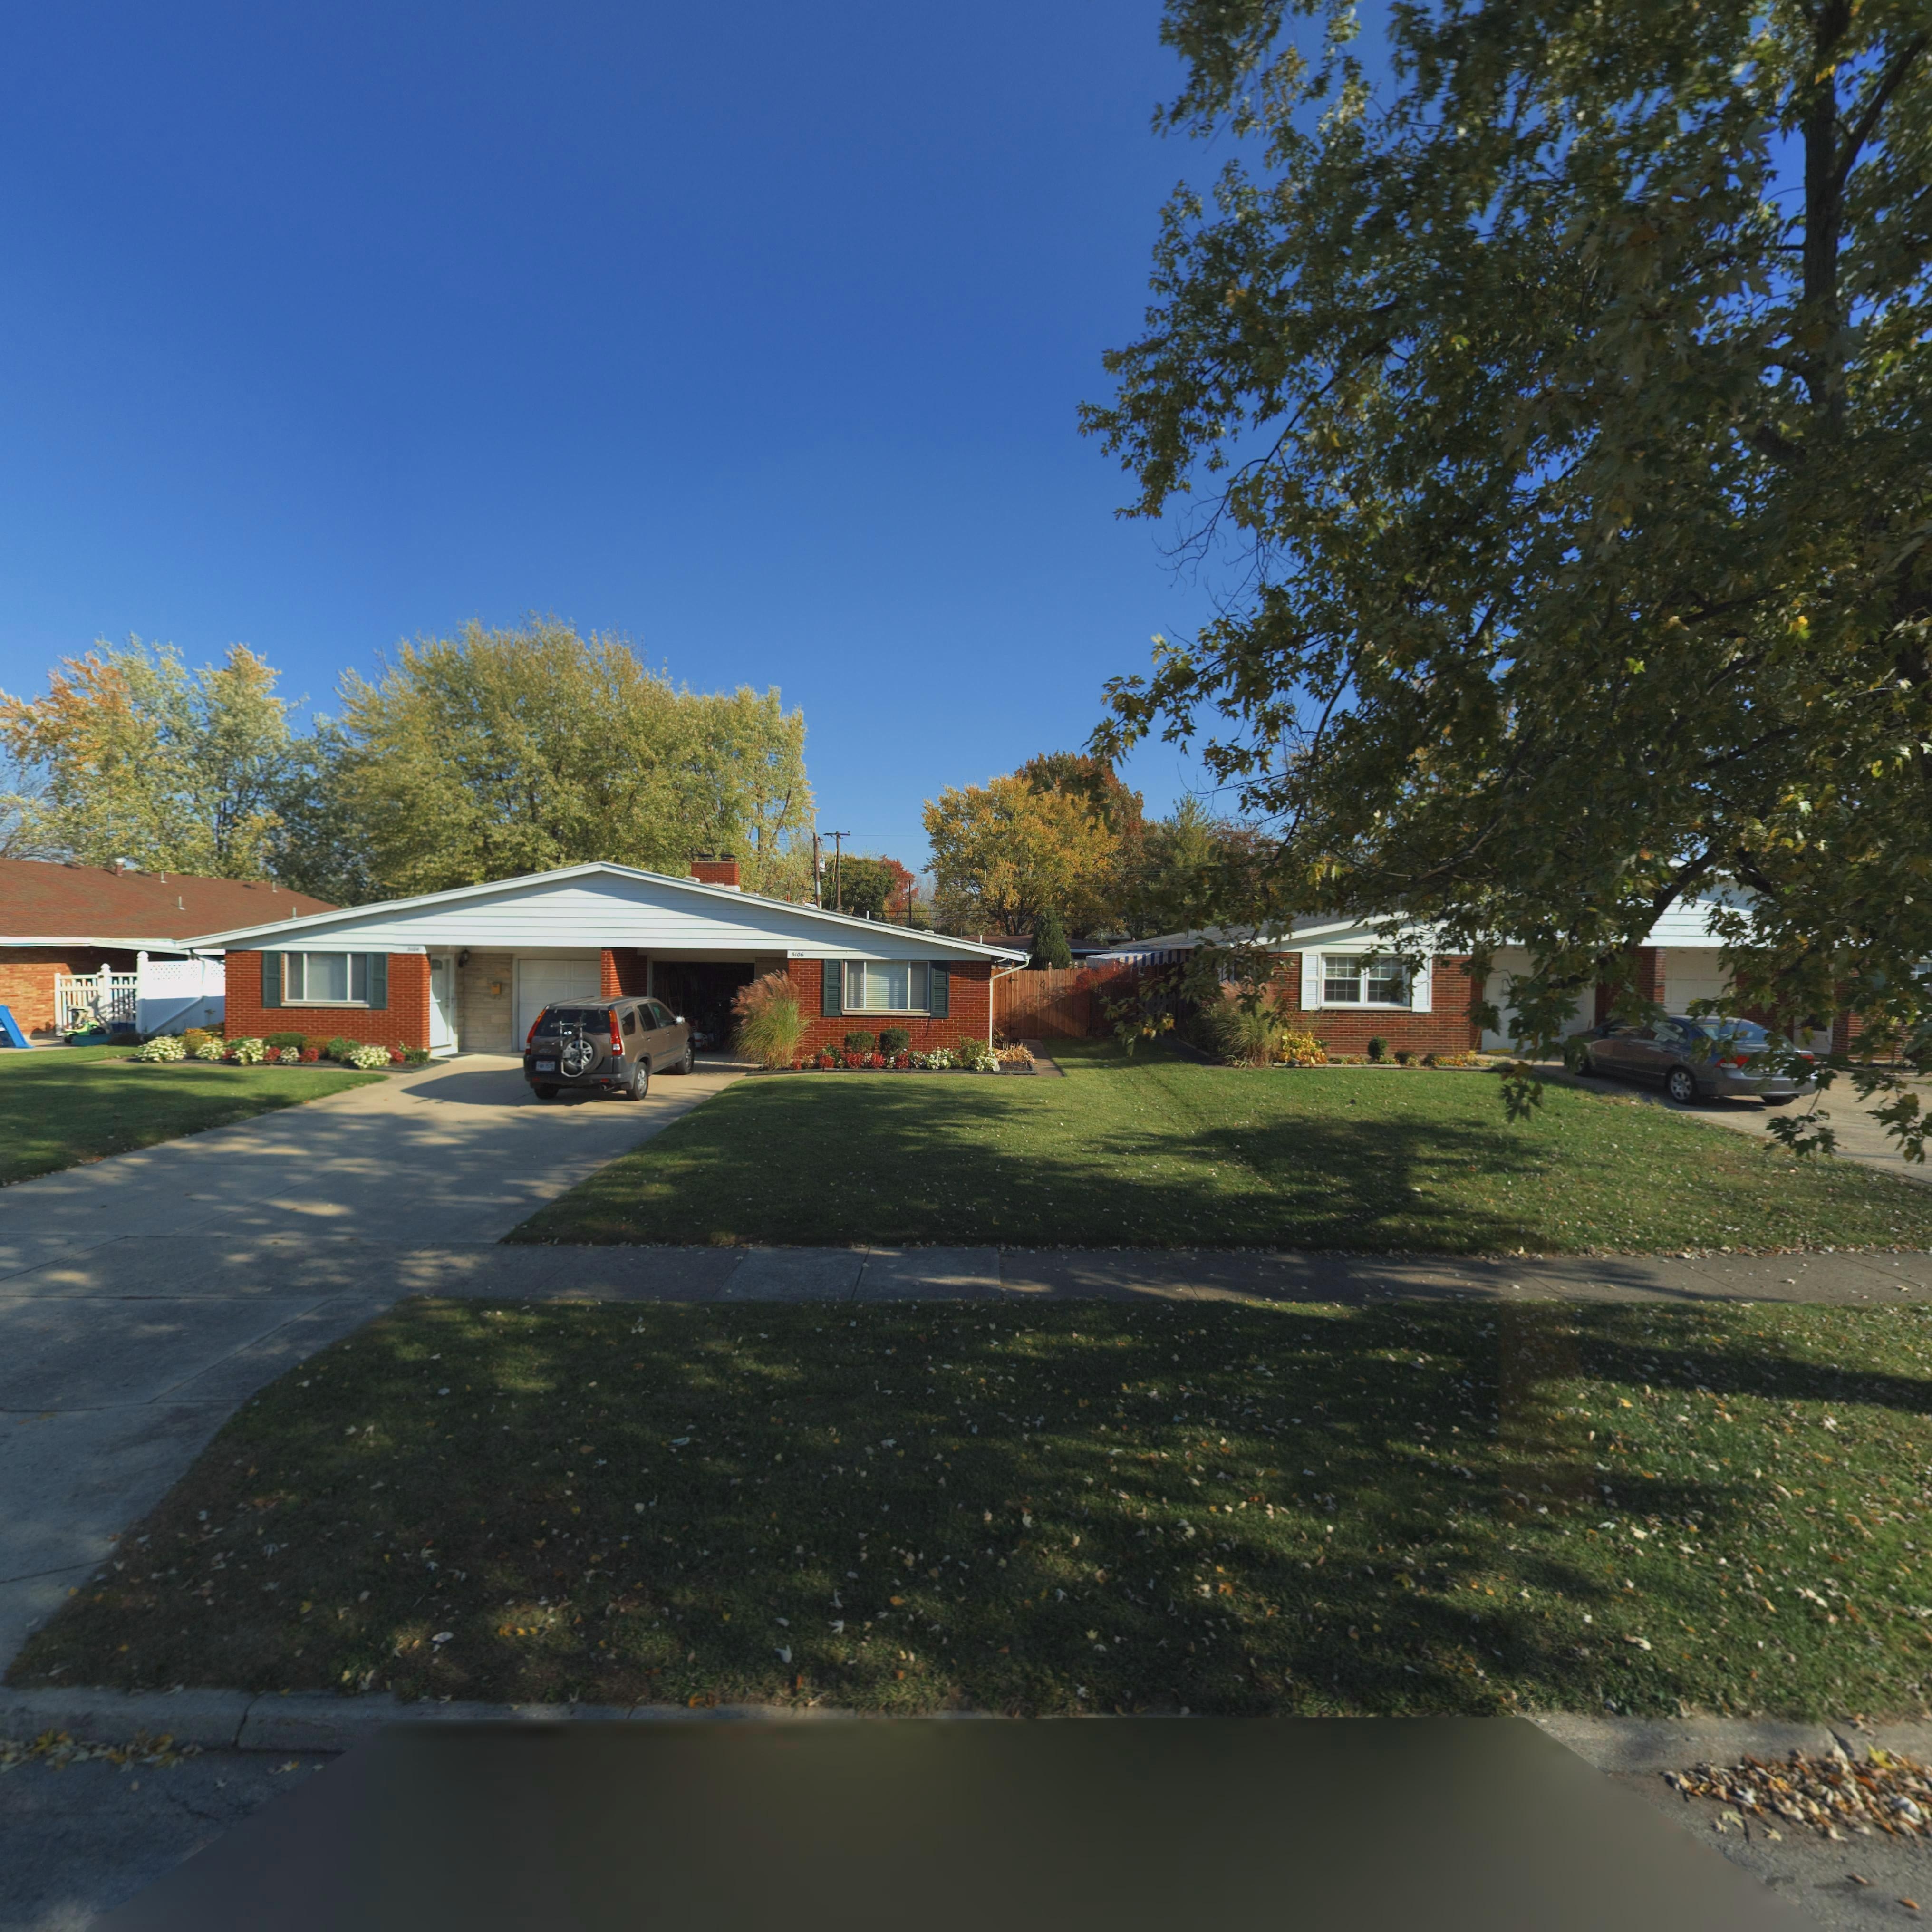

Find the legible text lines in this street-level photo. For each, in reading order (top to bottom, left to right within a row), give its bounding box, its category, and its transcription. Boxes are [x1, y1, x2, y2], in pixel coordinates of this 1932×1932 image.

[405, 946, 420, 951] StreetNumber: 3104
[790, 951, 803, 957] StreetNumber: 3106